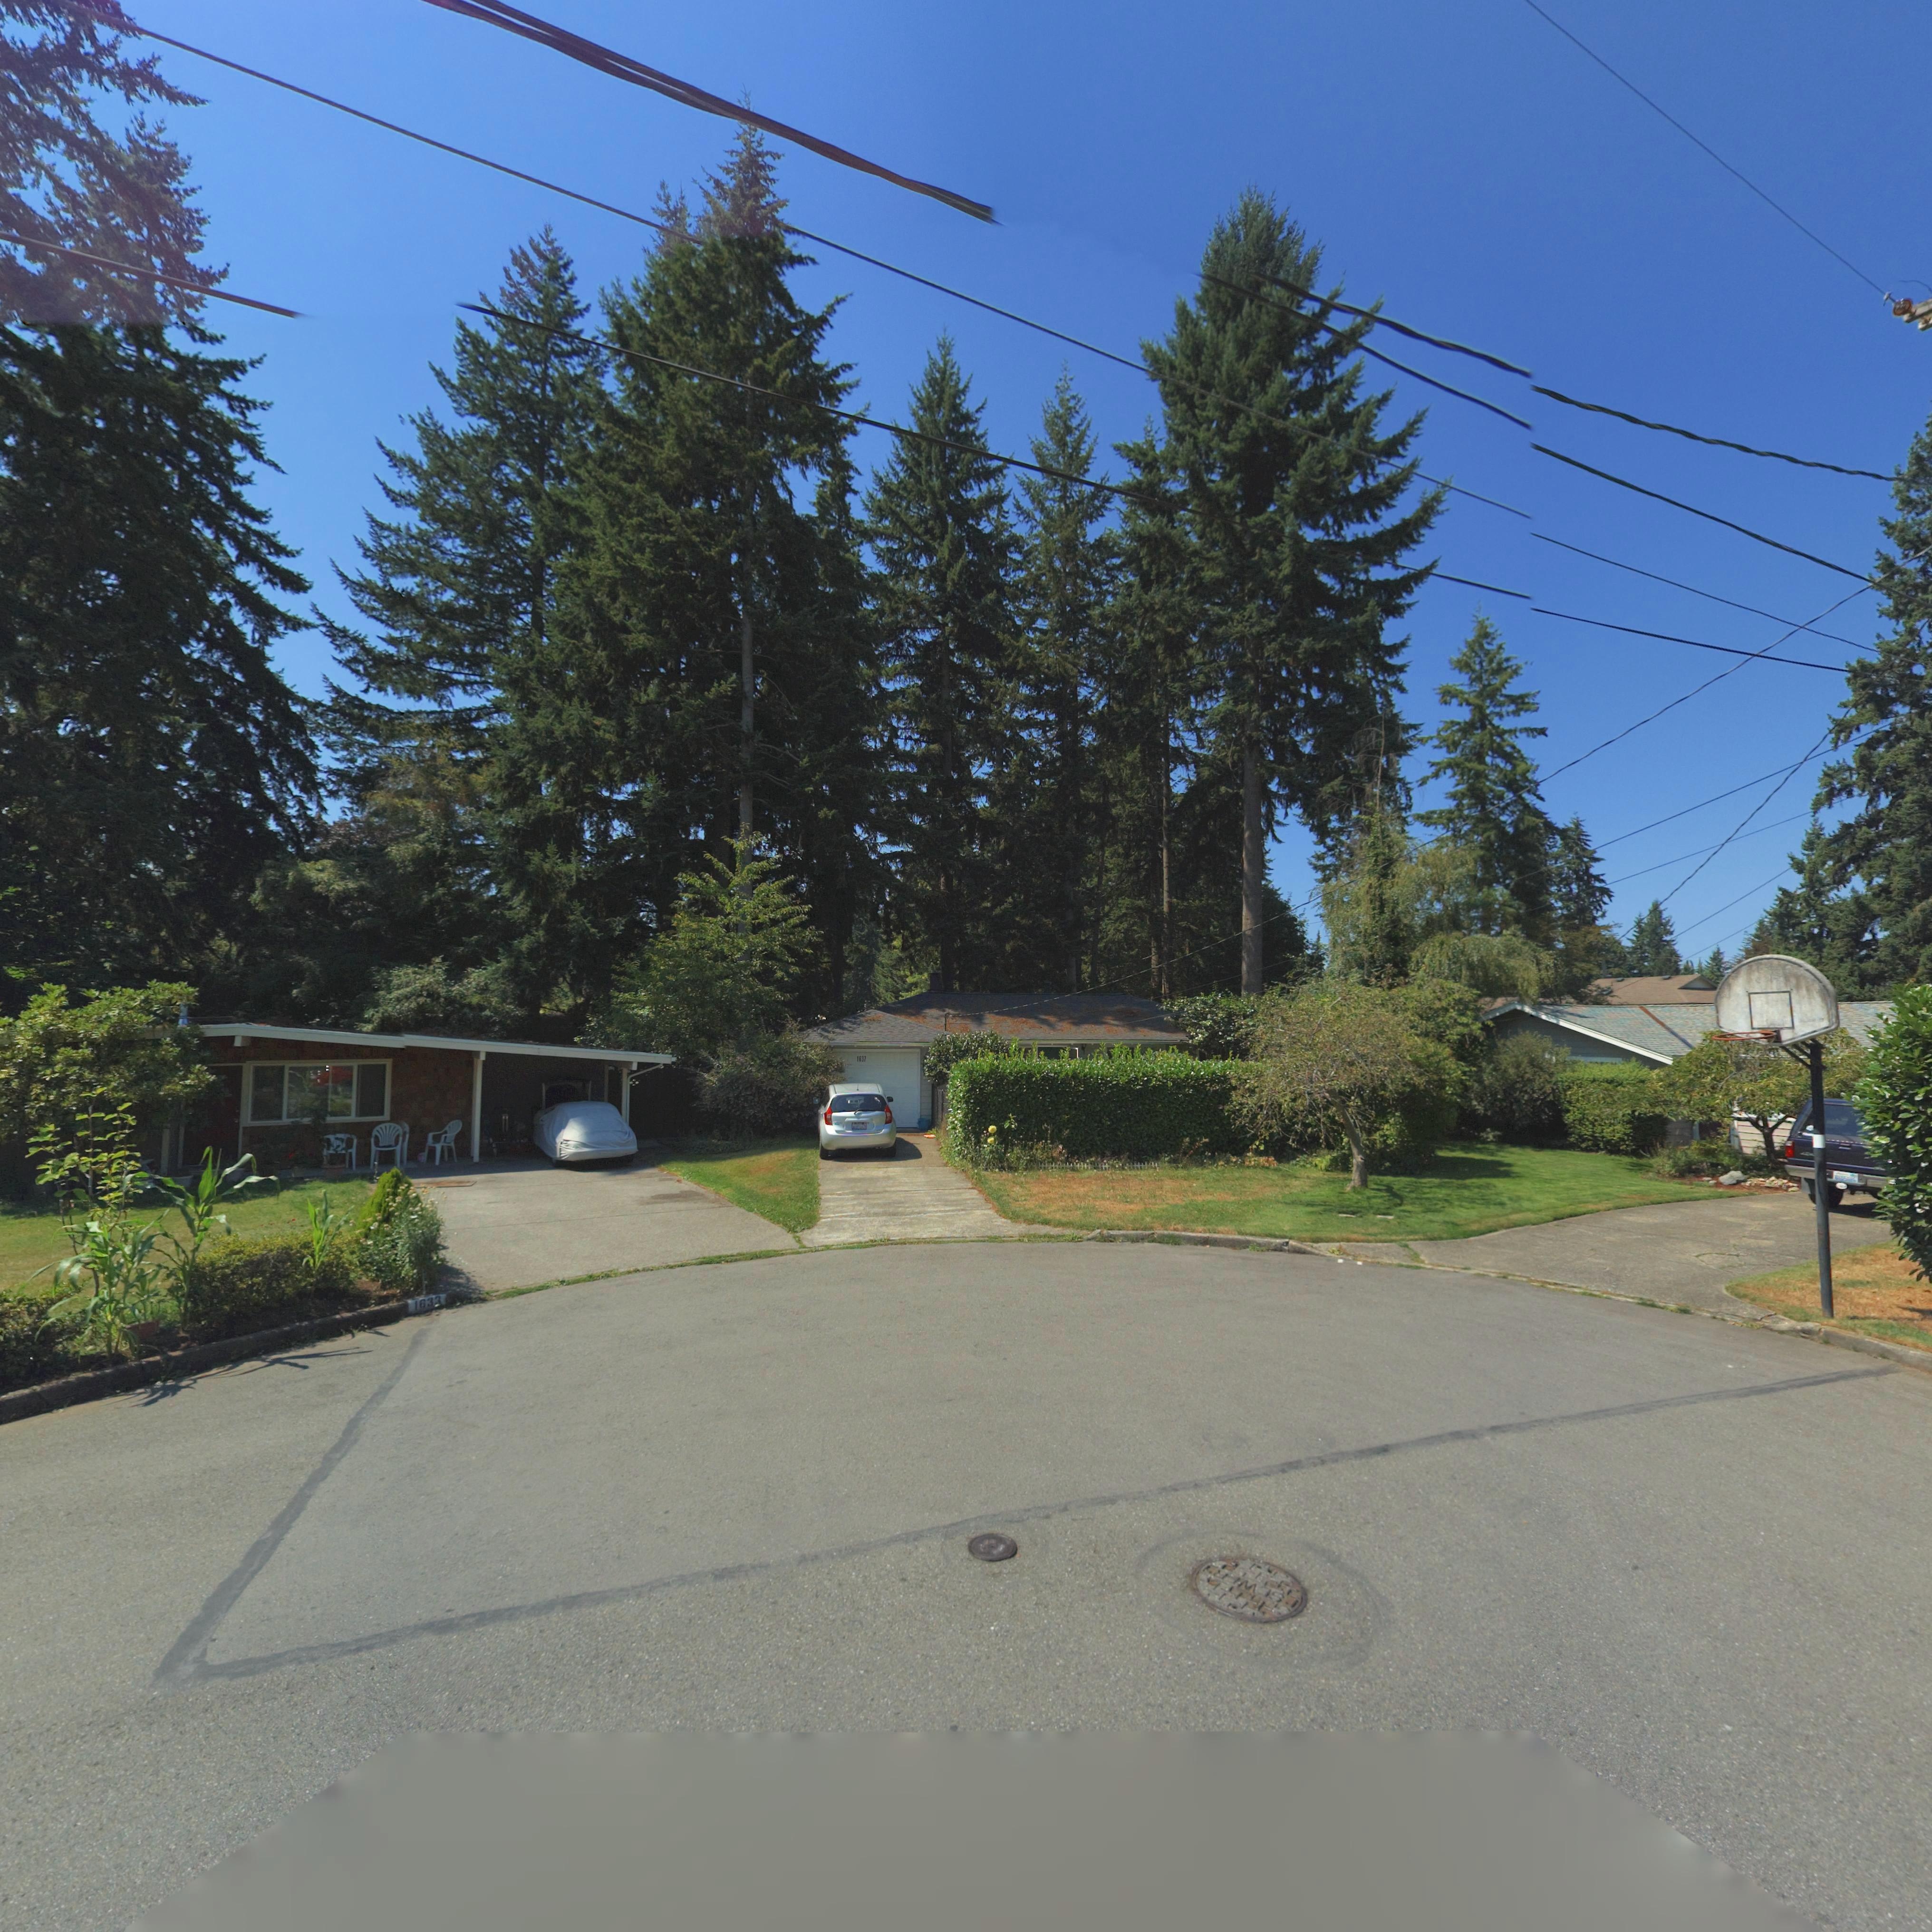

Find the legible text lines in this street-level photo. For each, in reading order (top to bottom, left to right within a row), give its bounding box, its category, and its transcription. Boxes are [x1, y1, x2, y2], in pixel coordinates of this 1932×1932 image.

[857, 1055, 866, 1062] StreetNumber: 1637
[414, 1295, 440, 1312] StreetNumber: 1633